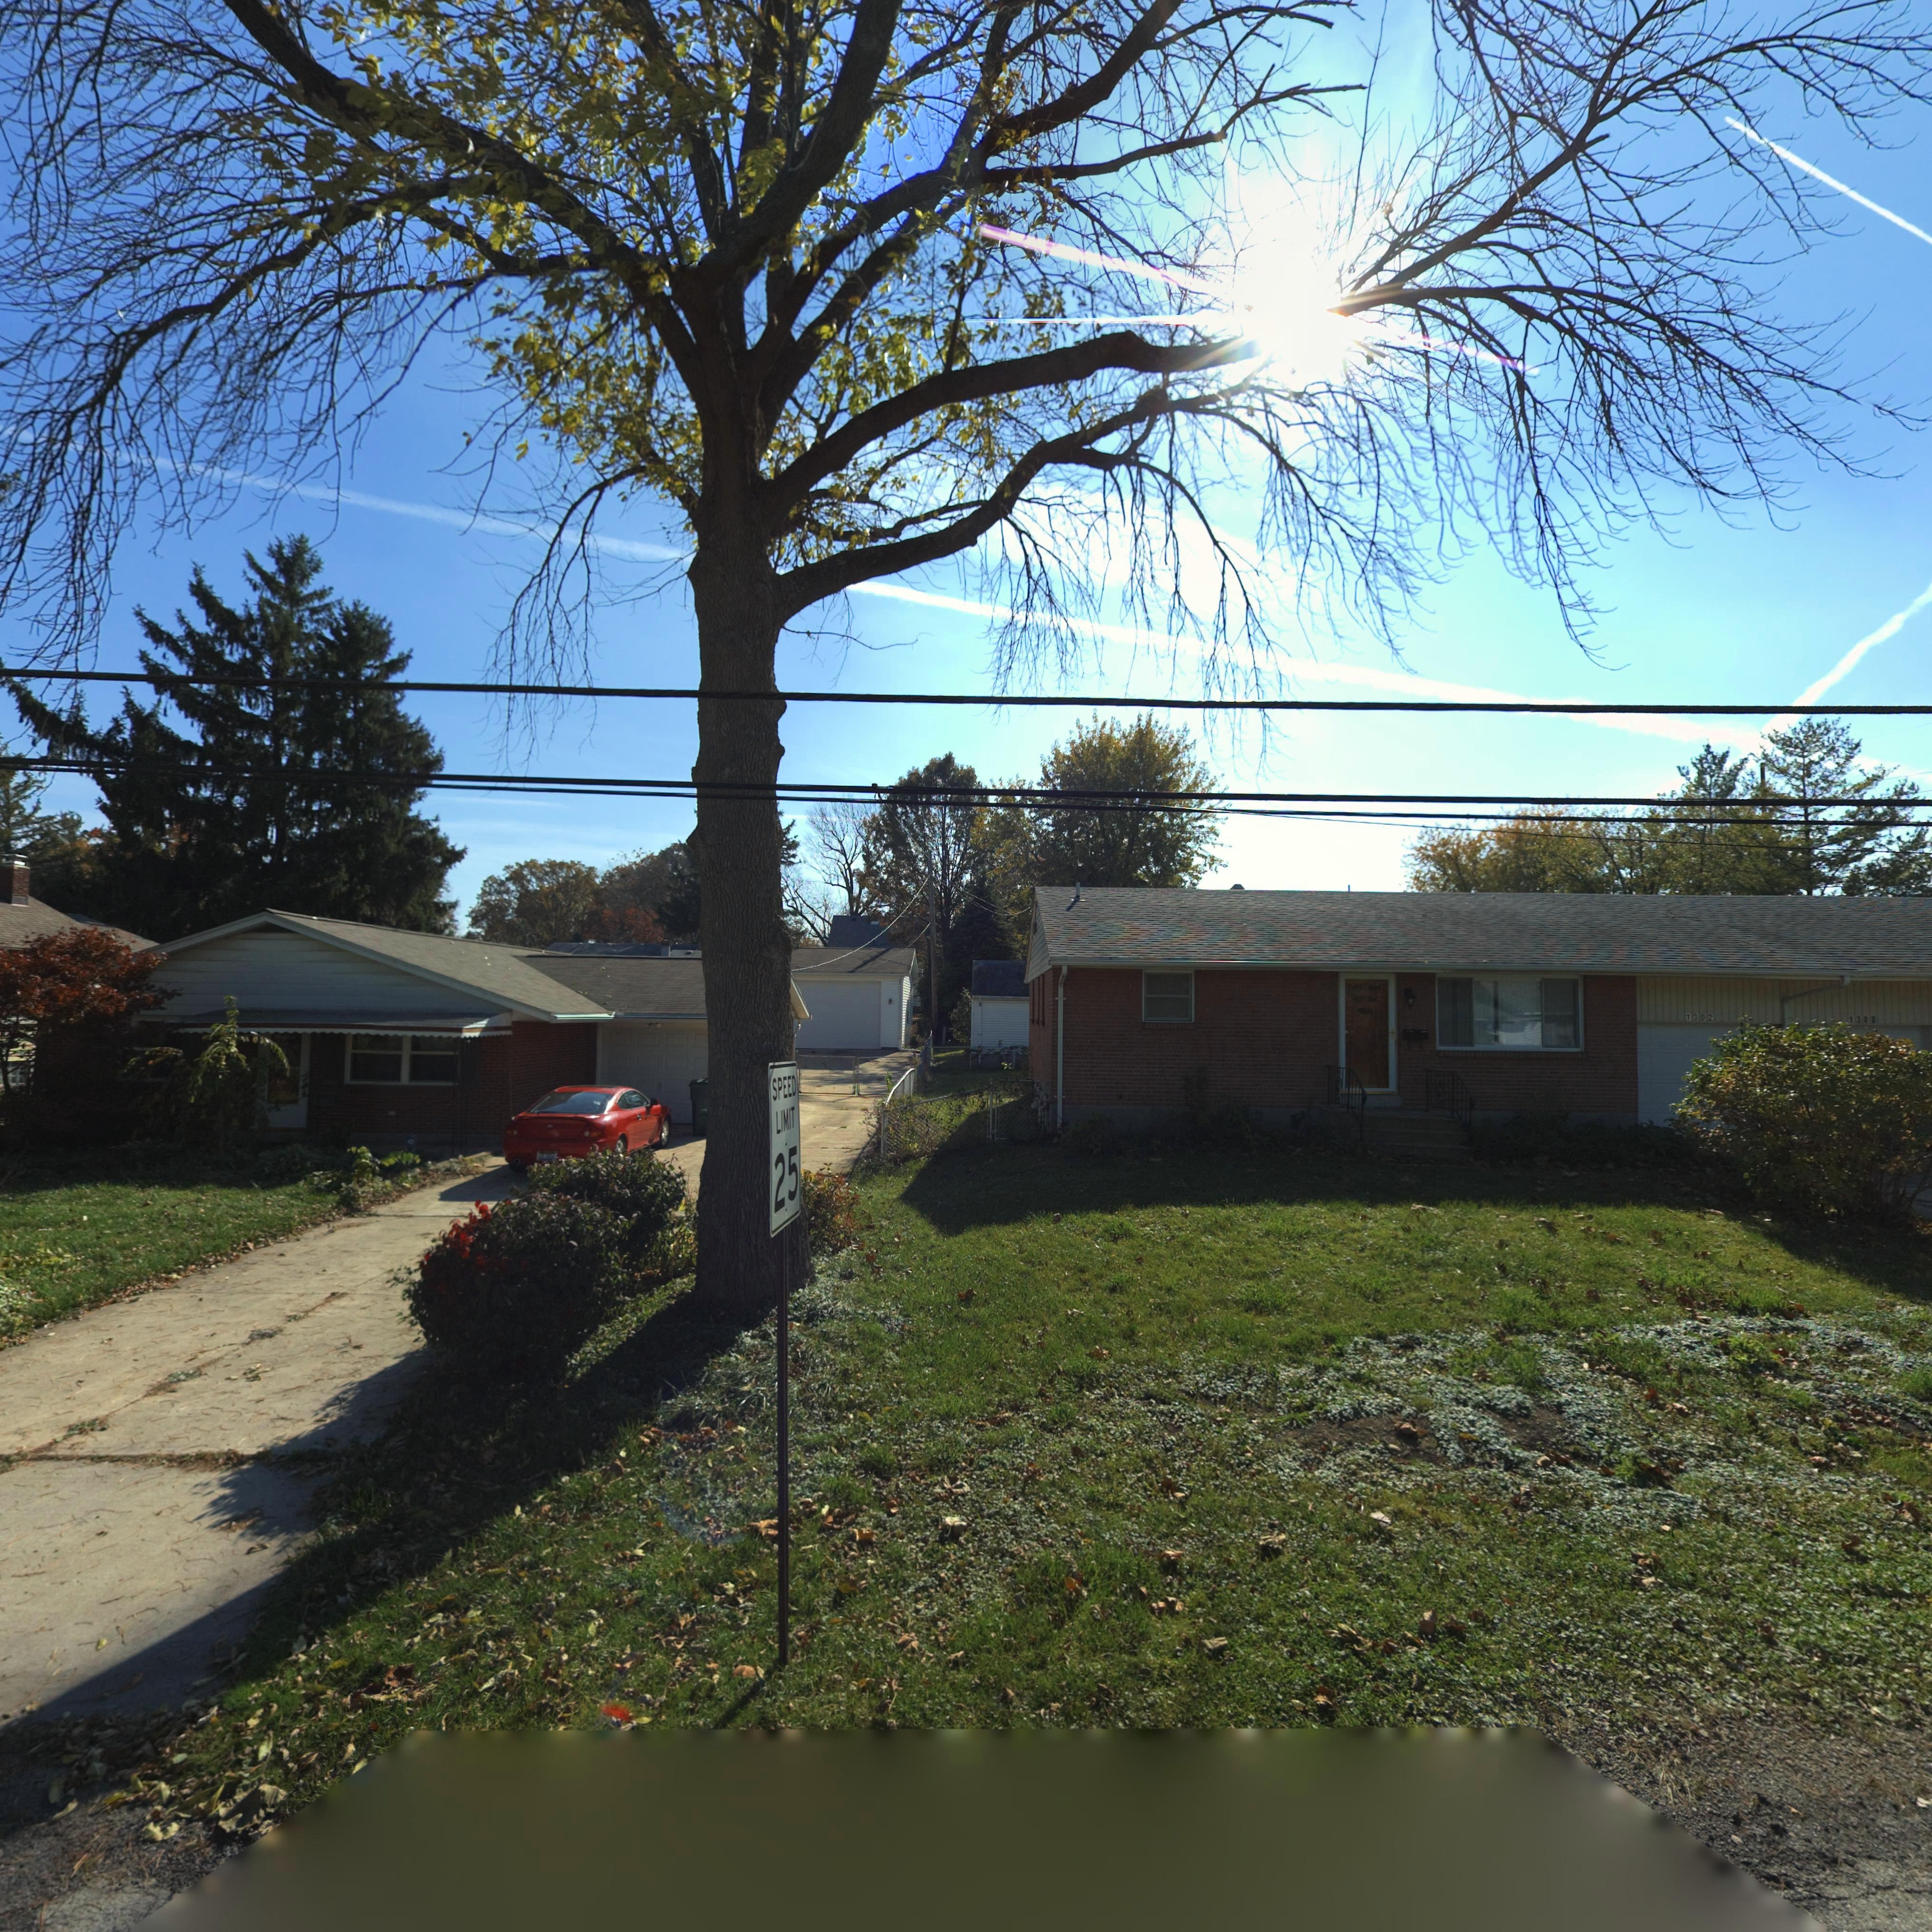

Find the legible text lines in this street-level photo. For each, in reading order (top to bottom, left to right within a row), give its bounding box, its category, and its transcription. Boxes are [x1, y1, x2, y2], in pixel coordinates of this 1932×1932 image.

[1685, 1013, 1714, 1021] StreetNumber: 1302
[1847, 1015, 1876, 1023] StreetNumber: 1300
[771, 1074, 797, 1102] None: SPEED
[775, 1105, 795, 1135] None: LIMIT
[538, 1153, 555, 1159] None: EDL 6652
[773, 1144, 800, 1216] None: 25